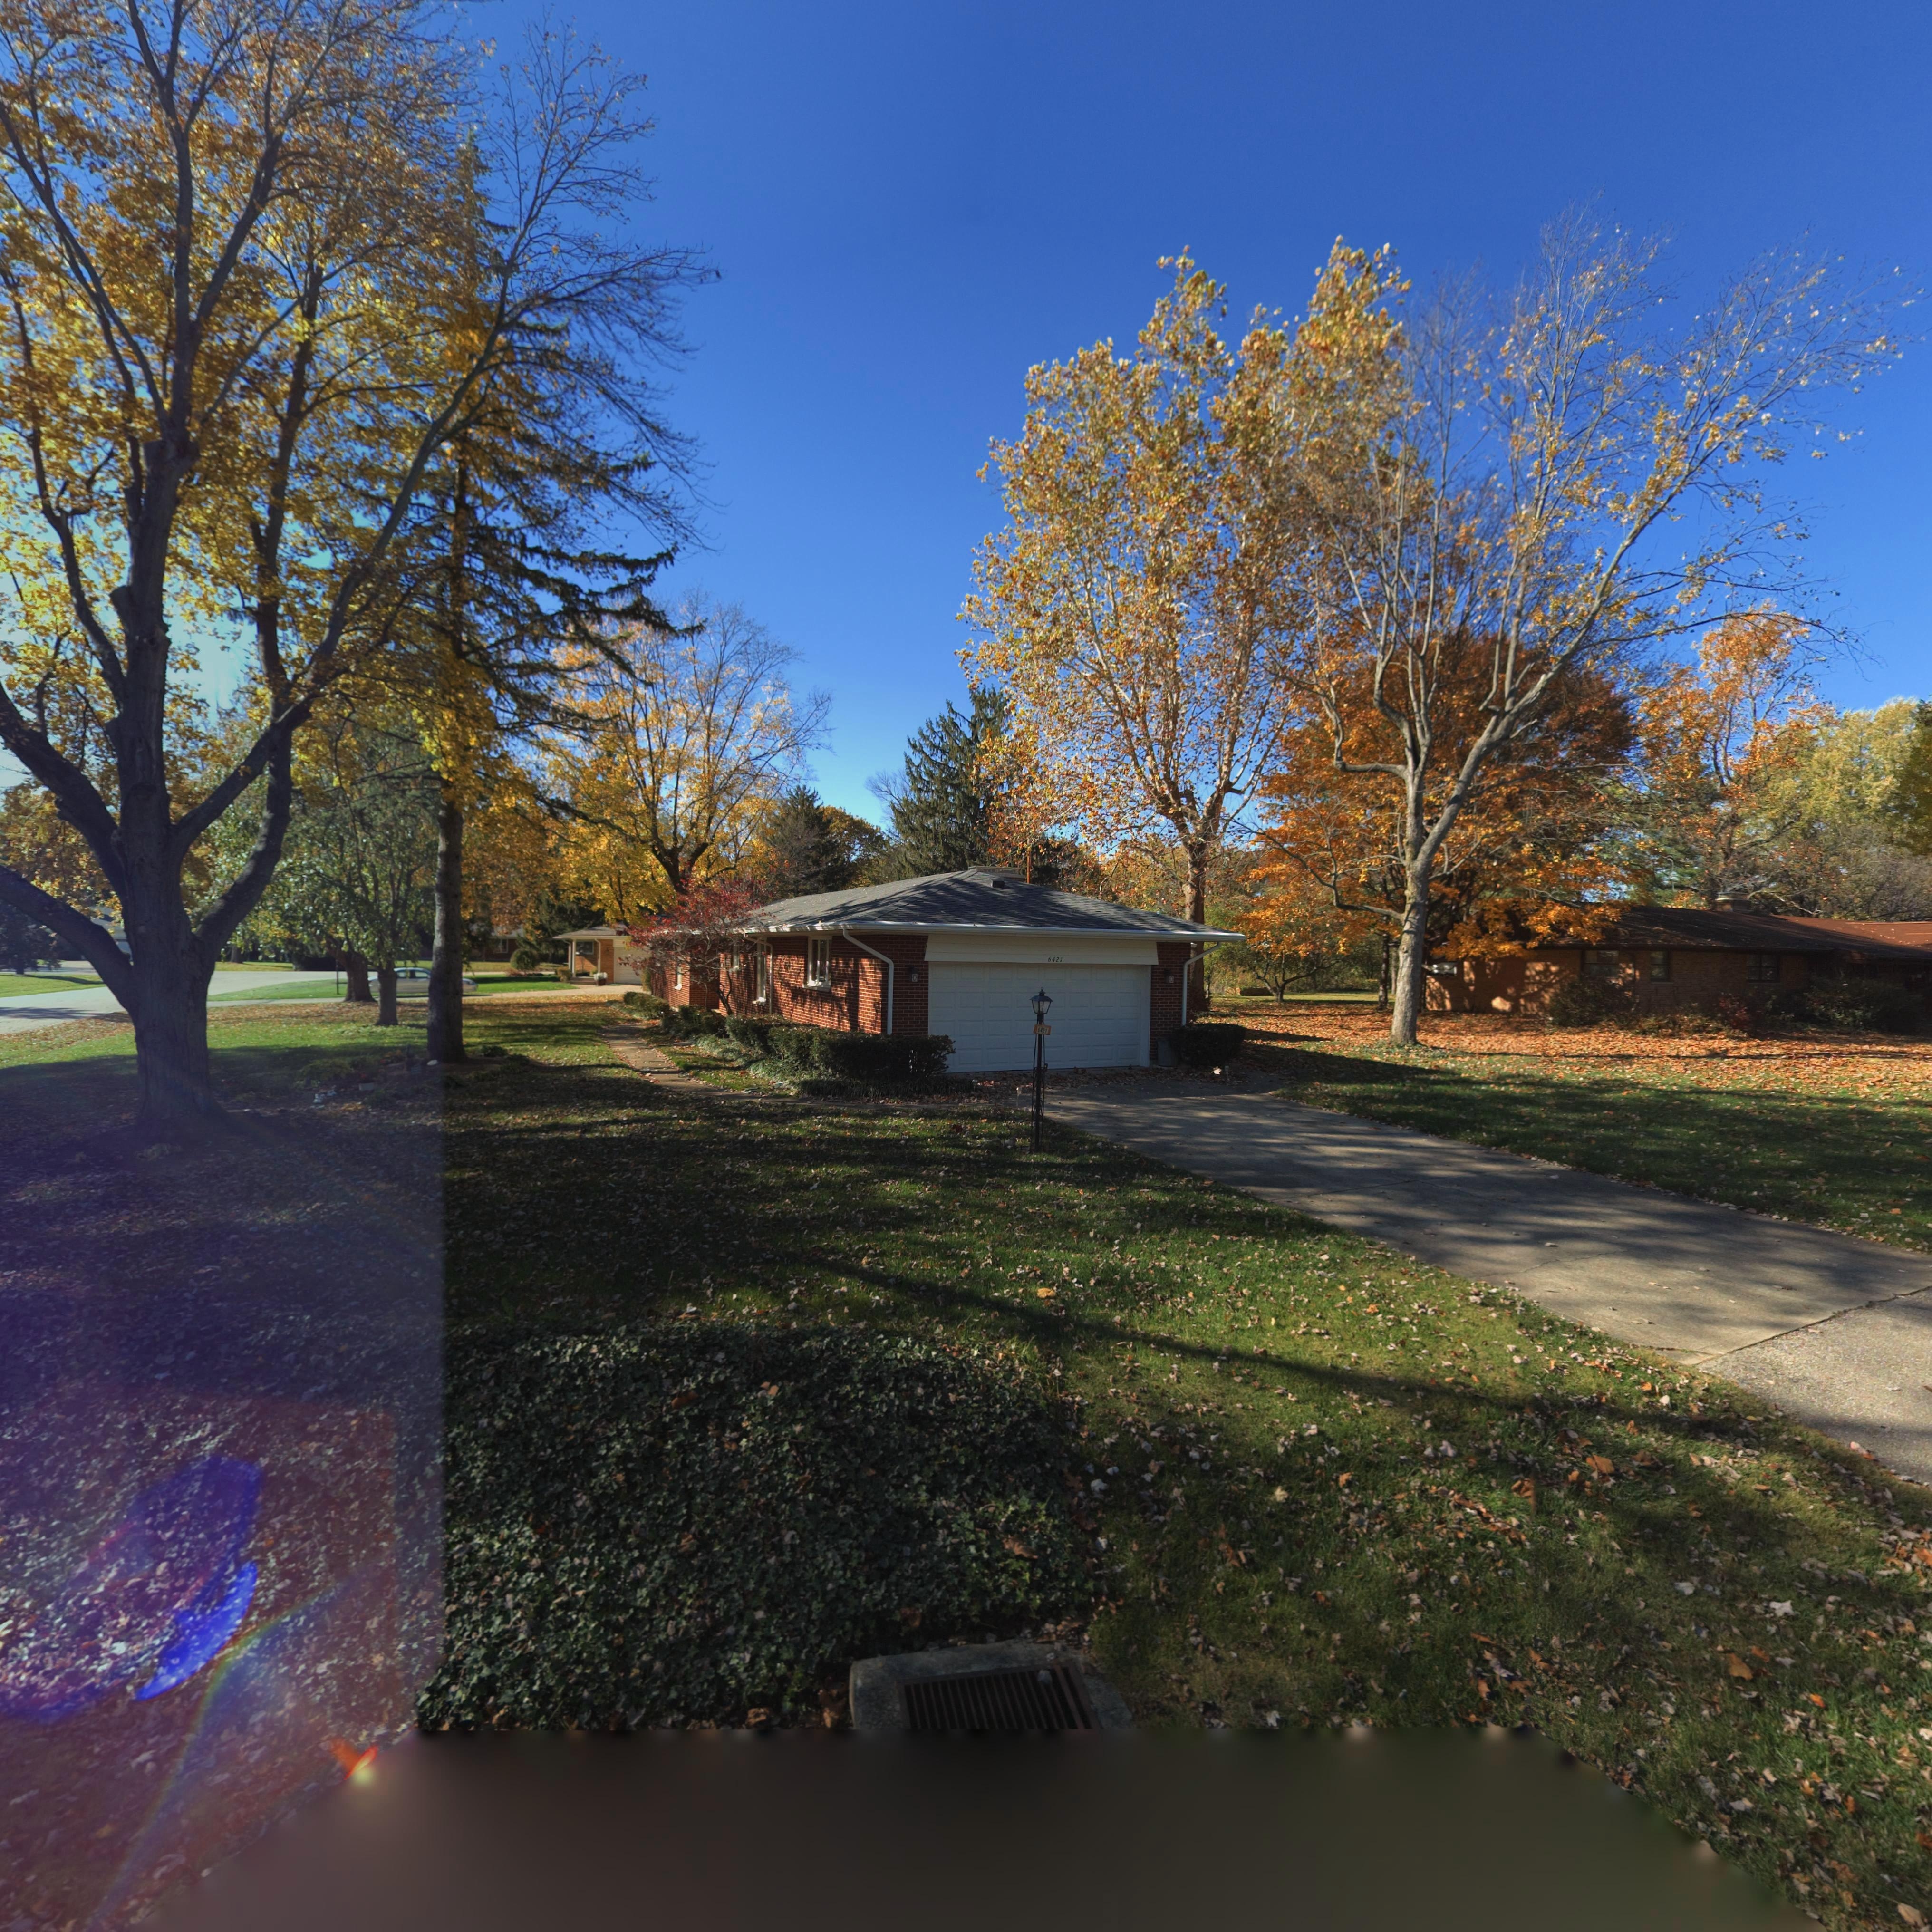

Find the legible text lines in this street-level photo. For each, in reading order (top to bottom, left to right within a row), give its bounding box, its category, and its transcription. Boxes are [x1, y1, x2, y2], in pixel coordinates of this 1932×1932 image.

[1047, 956, 1063, 963] StreetNumber: 6421
[1037, 1026, 1048, 1034] StreetNumber: 6421